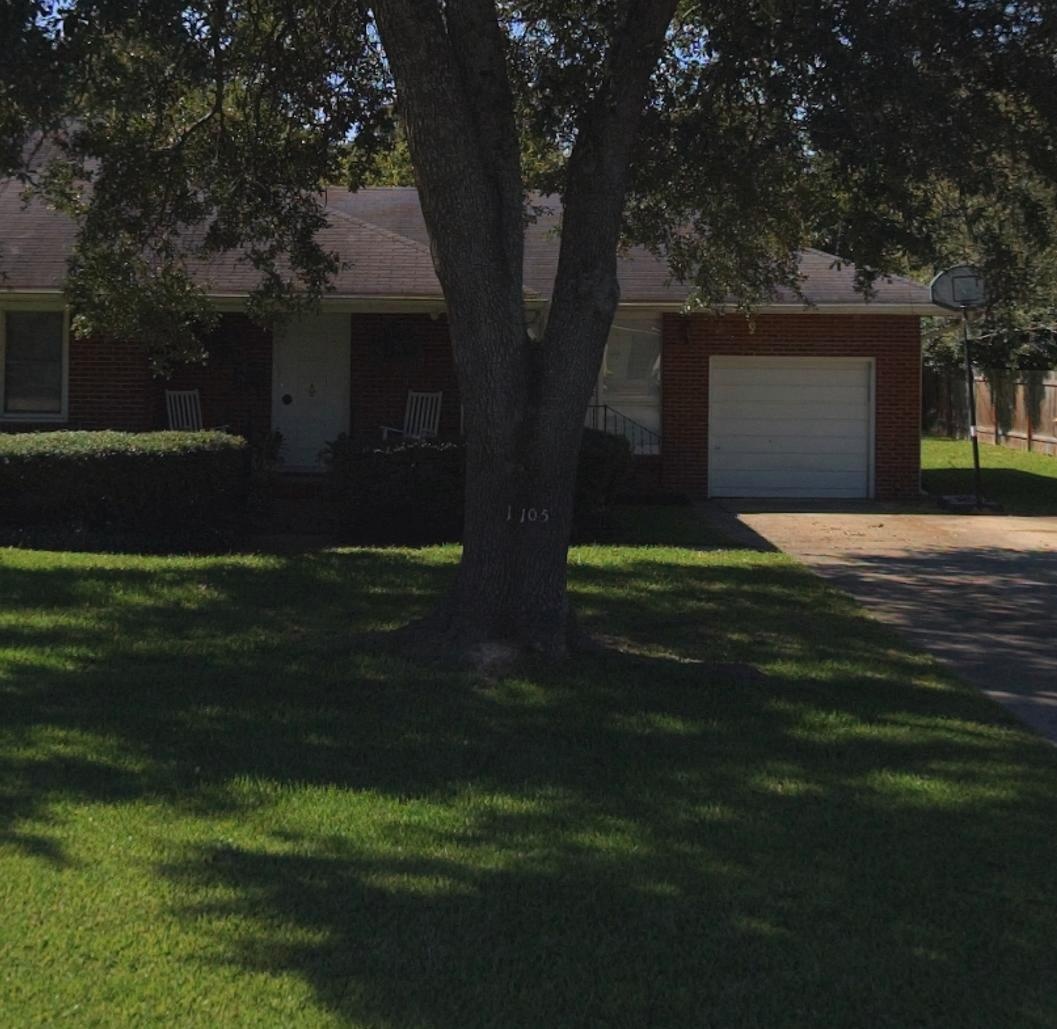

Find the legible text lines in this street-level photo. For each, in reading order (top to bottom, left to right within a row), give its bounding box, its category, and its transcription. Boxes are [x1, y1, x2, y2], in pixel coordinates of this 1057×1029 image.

[505, 503, 550, 524] StreetNumber: 1105